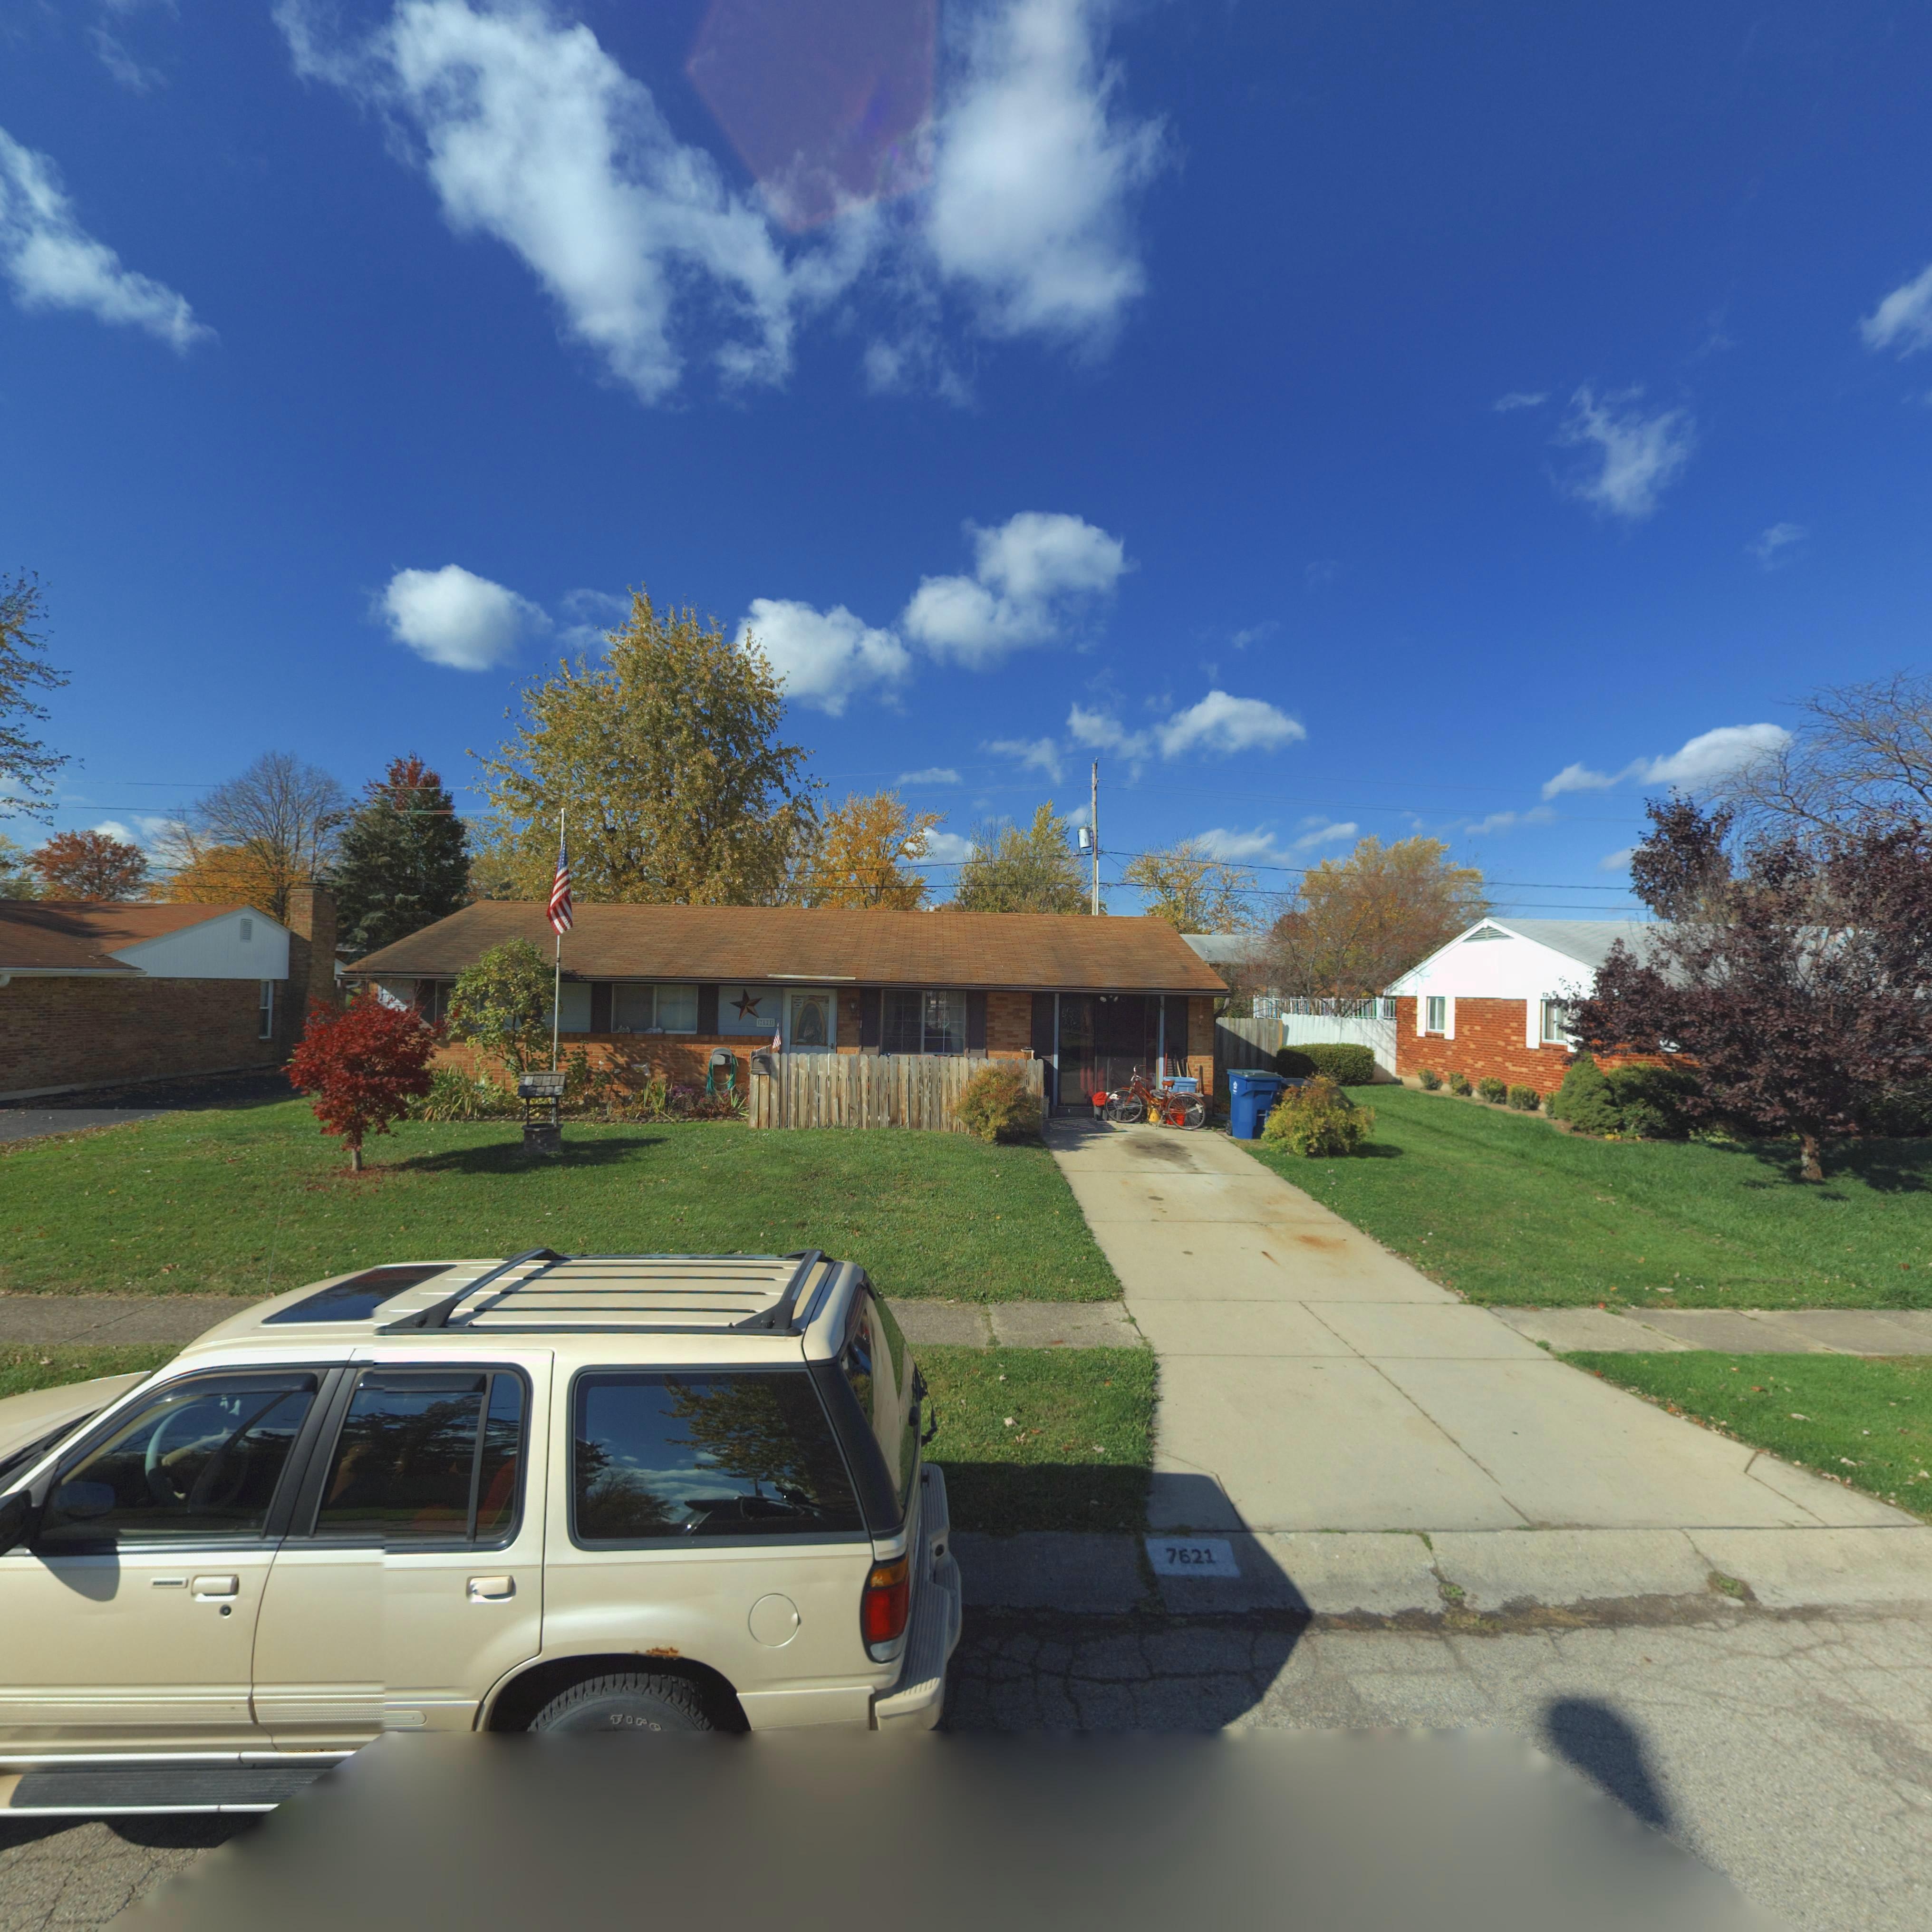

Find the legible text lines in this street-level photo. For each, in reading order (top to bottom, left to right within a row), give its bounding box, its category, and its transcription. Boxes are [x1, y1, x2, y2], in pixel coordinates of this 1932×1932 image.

[758, 1019, 773, 1026] StreetNumber: ***1
[1164, 1546, 1217, 1566] StreetNumber: 7631